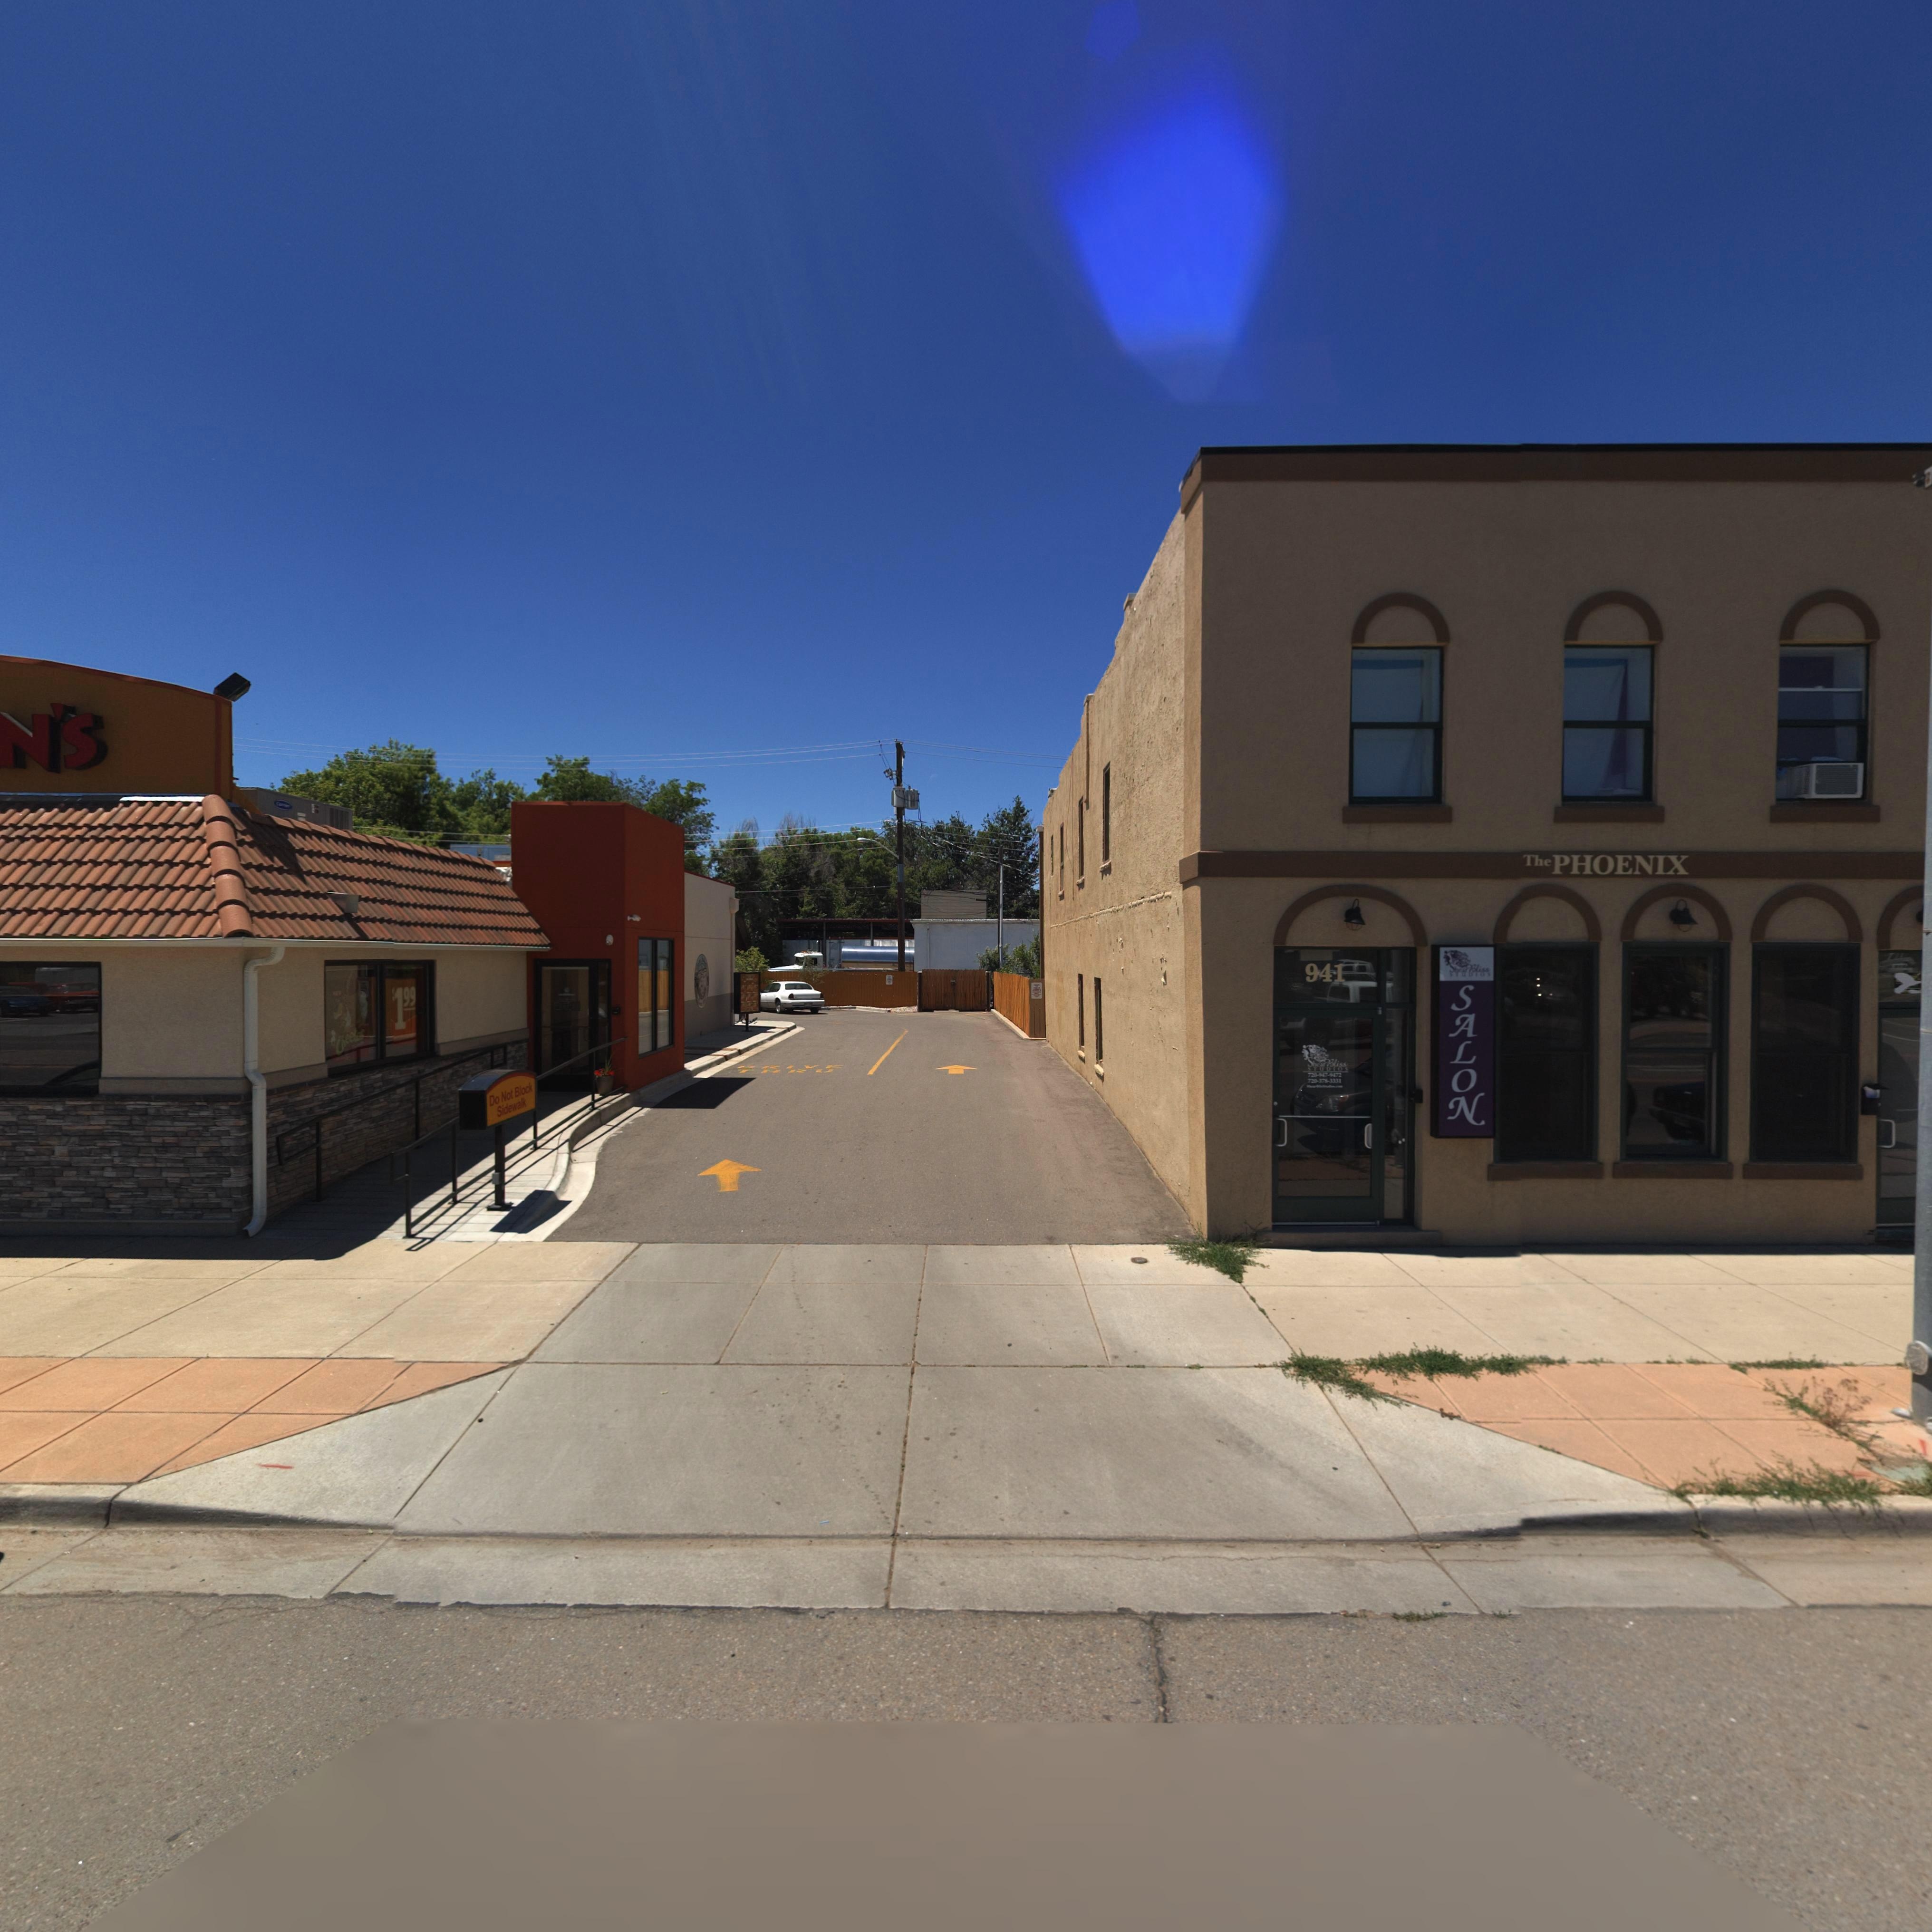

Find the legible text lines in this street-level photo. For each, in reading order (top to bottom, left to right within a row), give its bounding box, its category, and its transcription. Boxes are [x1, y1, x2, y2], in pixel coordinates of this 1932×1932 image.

[0, 701, 98, 775] BusinessName: N'S
[1522, 853, 1689, 875] BusinessName: The PHOENIX
[1304, 963, 1345, 982] StreetNumber: 941
[1448, 961, 1490, 974] BusinessName: S**** Bliss
[1449, 971, 1491, 977] BusinessName: STUDIOS
[1307, 1056, 1347, 1067] BusinessName: Sh*** Bliss
[1307, 1066, 1348, 1071] BusinessName: STUDIOS
[1445, 983, 1486, 1127] BusinessName: SALON